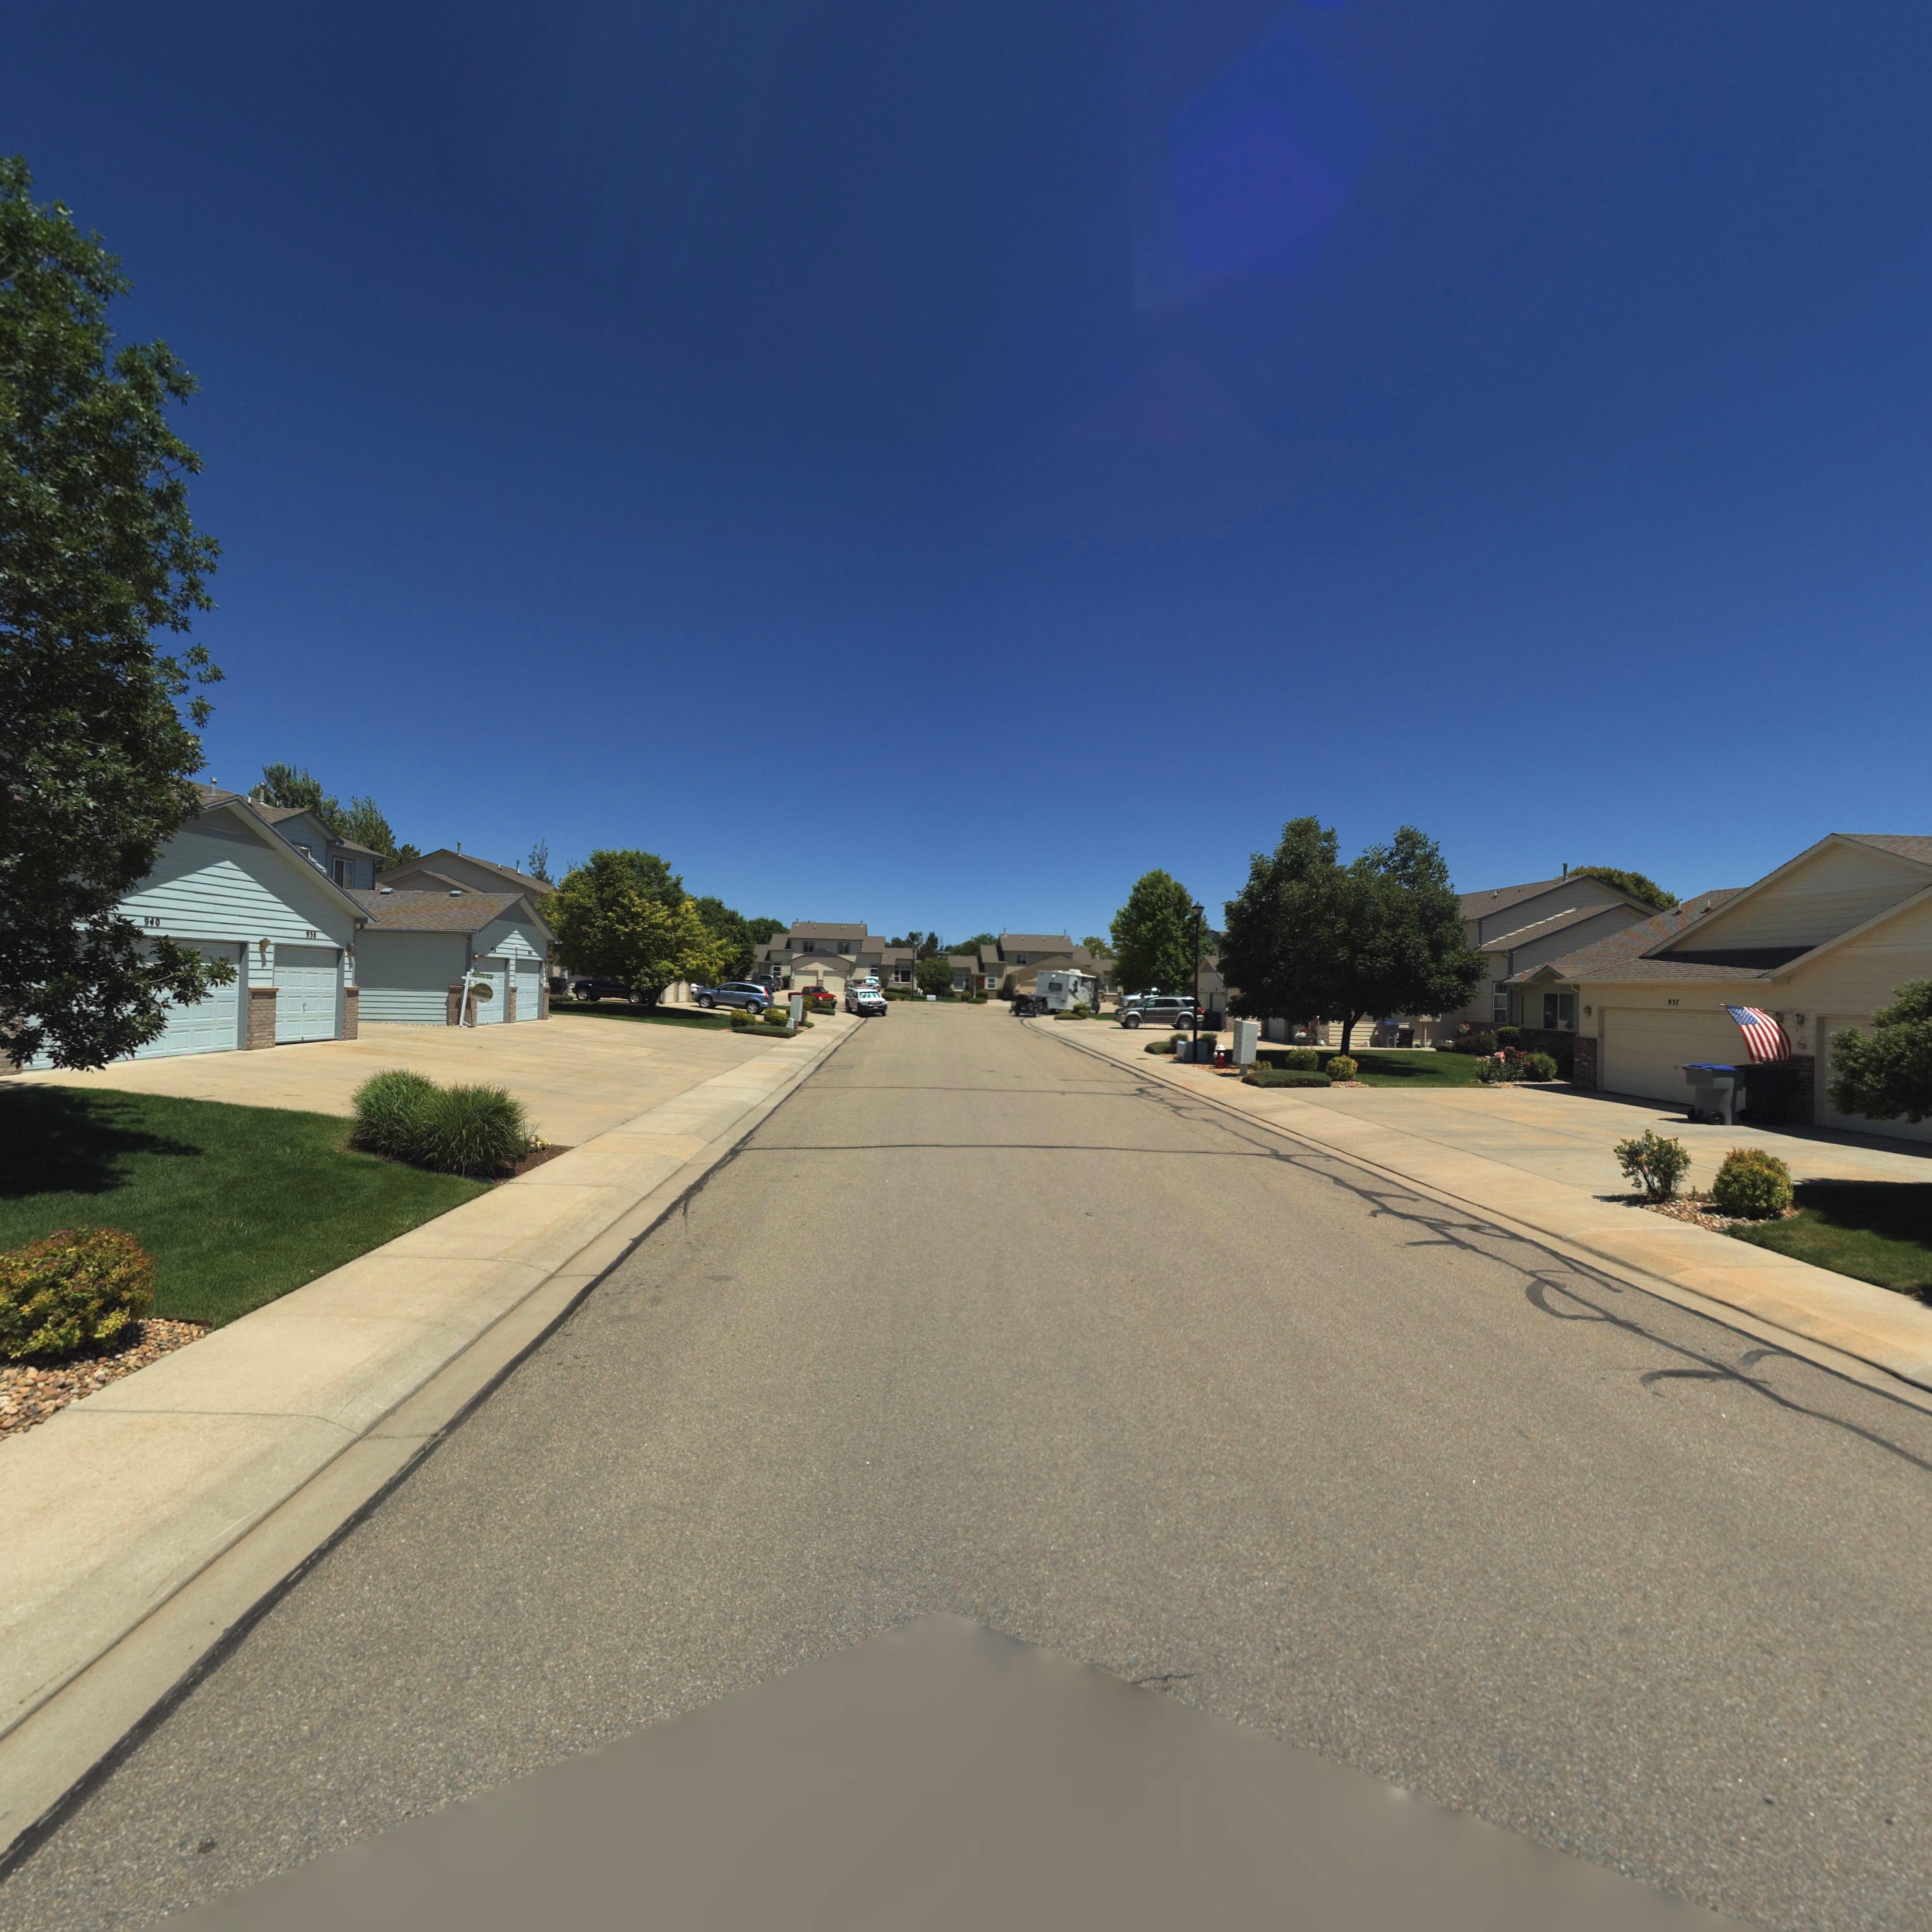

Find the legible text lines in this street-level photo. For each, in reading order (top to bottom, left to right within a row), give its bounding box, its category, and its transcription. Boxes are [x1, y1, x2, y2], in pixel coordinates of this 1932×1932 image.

[144, 916, 160, 926] StreetNumber: 940
[306, 931, 316, 938] StreetNumber: 938
[1667, 998, 1680, 1005] StreetNumber: 937